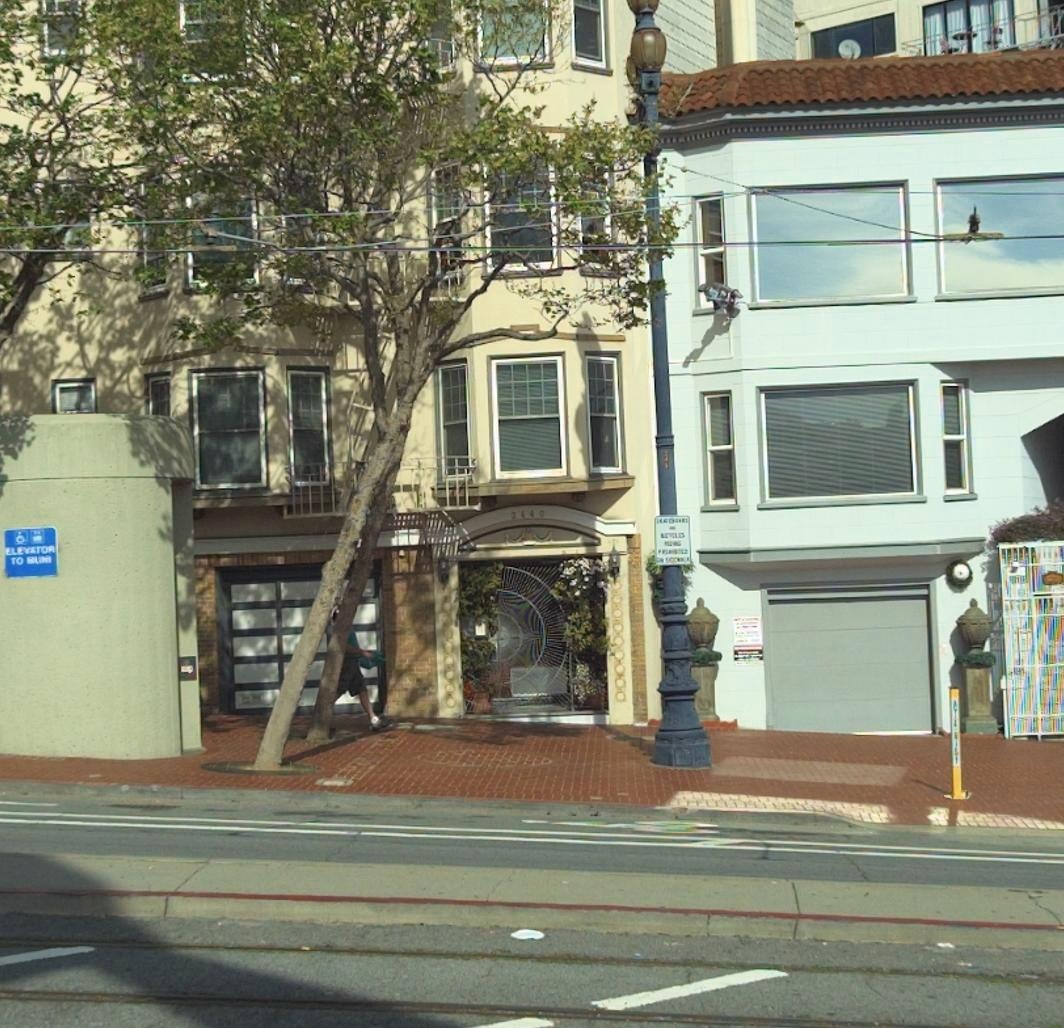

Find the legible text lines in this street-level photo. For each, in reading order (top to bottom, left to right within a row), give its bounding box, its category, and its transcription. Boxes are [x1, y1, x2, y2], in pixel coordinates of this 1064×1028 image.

[510, 509, 546, 520] StreetNumber: 2440
[4, 544, 56, 557] None: ELEVATOR
[9, 556, 25, 567] None: TO